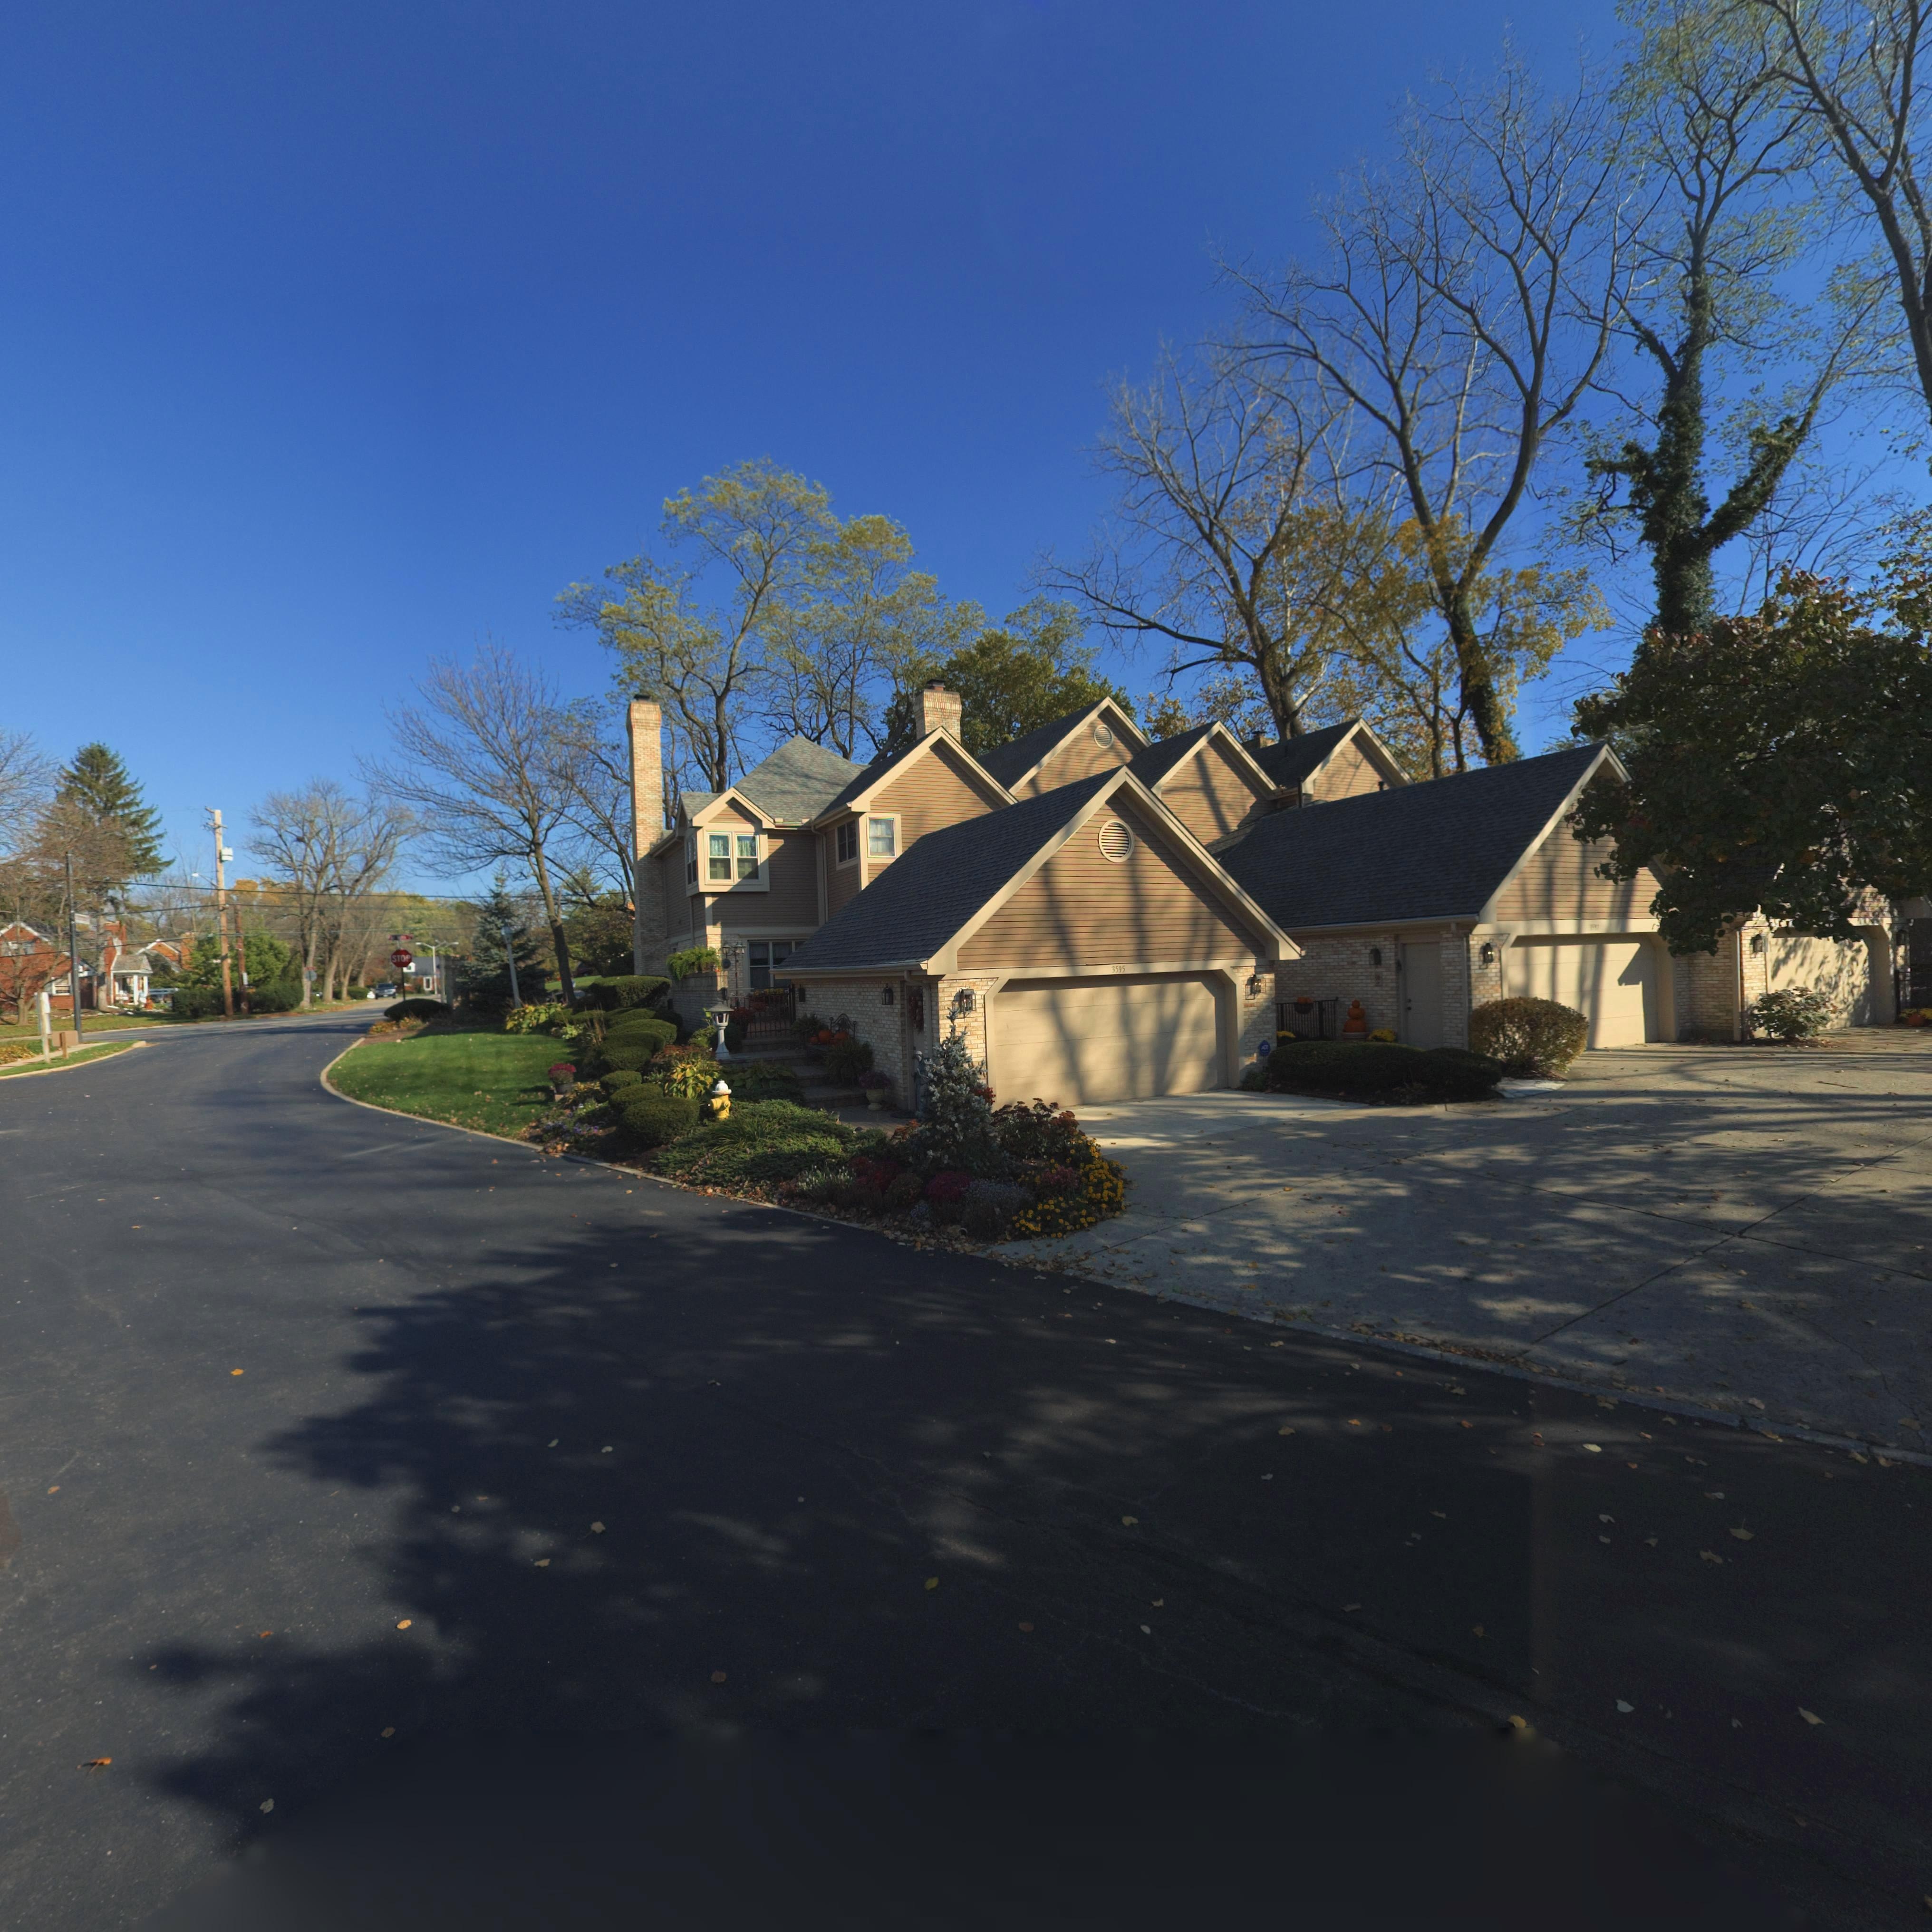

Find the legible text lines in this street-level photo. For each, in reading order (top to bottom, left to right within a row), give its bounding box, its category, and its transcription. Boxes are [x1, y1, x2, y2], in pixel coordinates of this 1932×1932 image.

[1111, 965, 1126, 974] StreetNumber: 3595